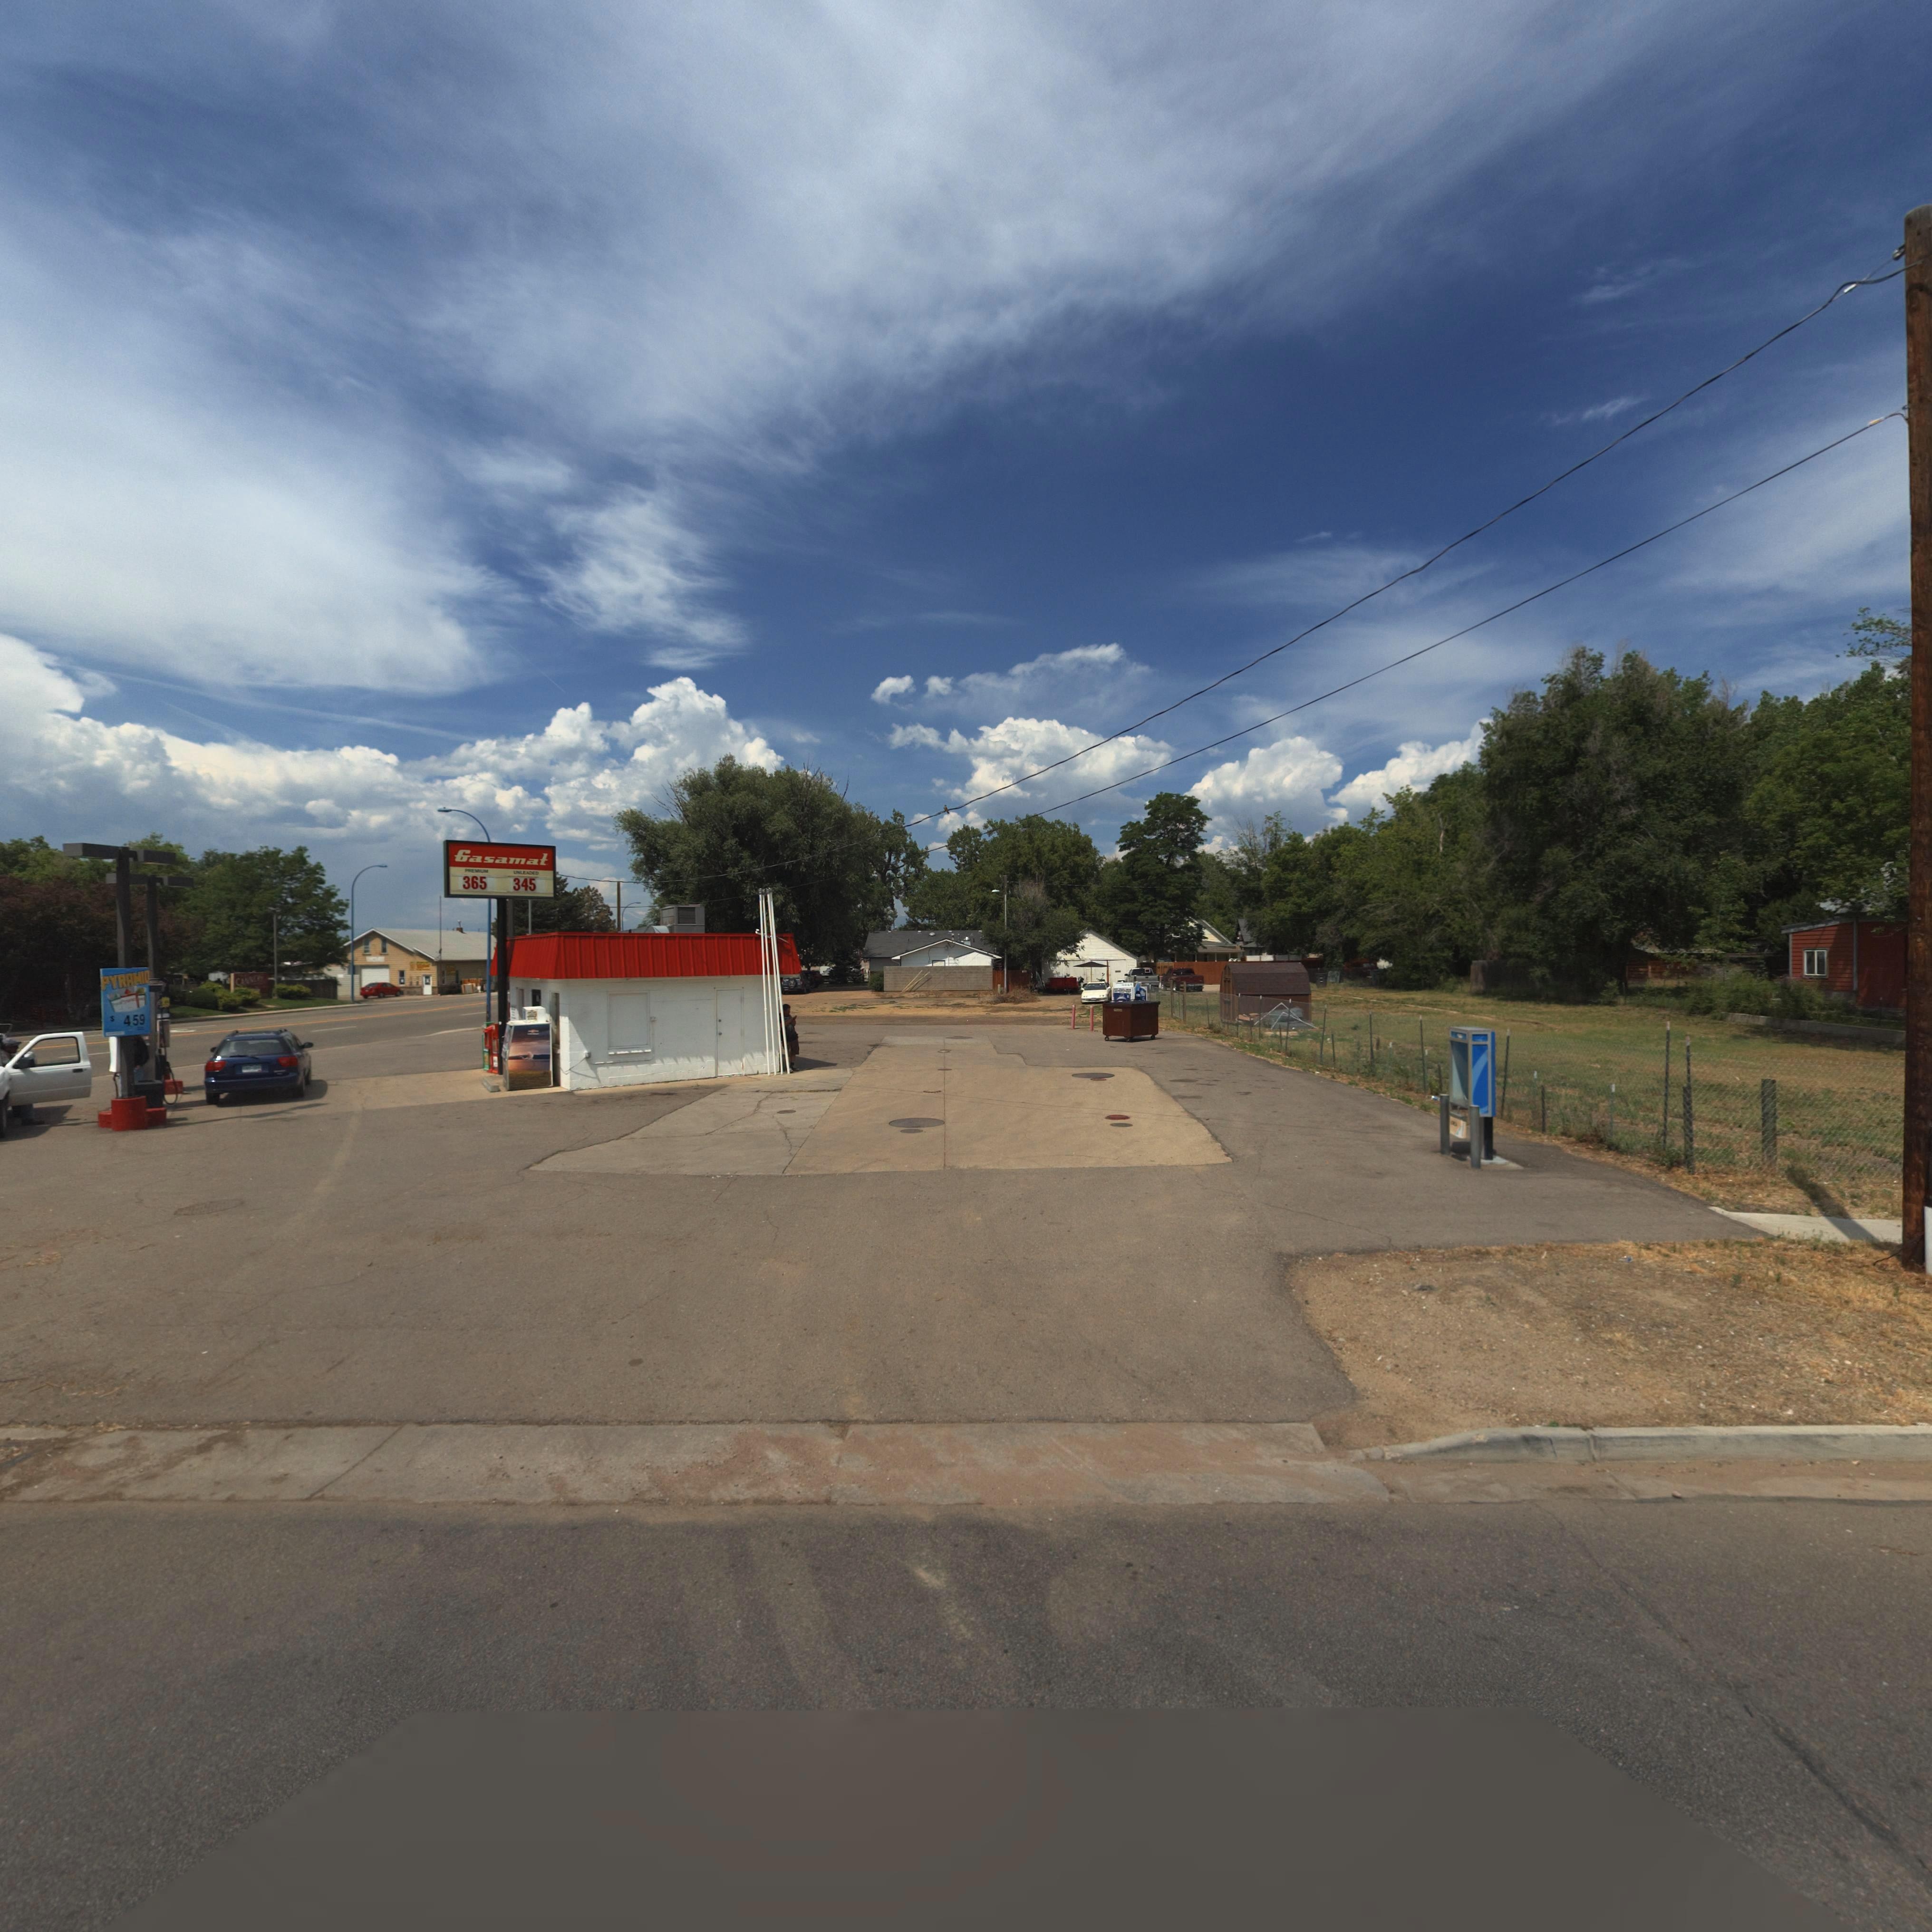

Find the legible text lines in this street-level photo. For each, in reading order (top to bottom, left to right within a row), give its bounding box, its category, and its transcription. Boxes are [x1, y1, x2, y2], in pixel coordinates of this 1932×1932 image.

[454, 849, 549, 866] BusinessName: Gasamat
[235, 974, 264, 986] BusinessName: CANNERY